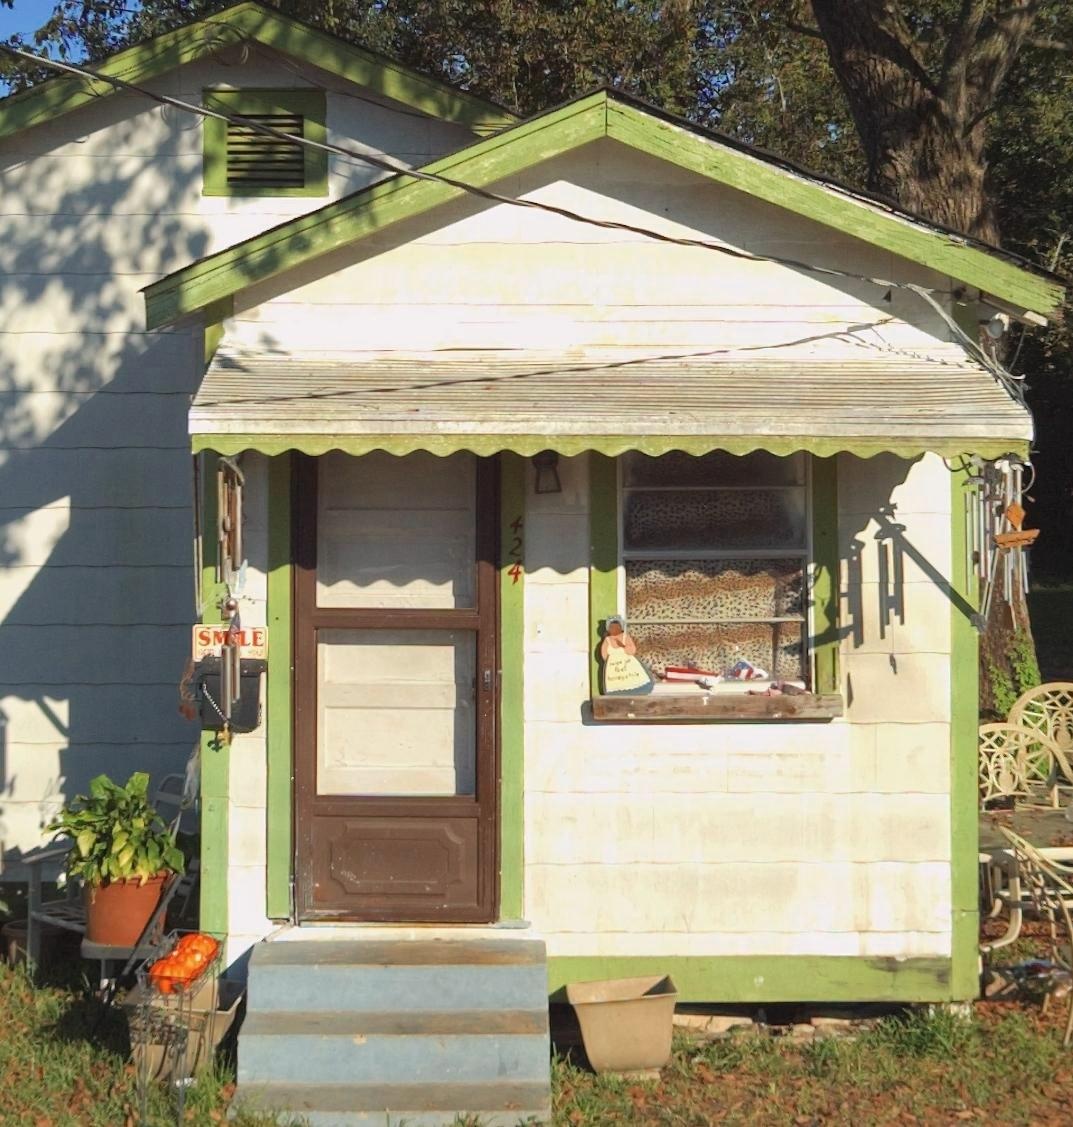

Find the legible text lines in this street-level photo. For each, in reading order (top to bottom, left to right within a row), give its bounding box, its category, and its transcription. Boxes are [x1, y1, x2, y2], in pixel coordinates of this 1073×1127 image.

[504, 512, 526, 588] StreetNumber: 424
[195, 628, 267, 649] None: S**LE